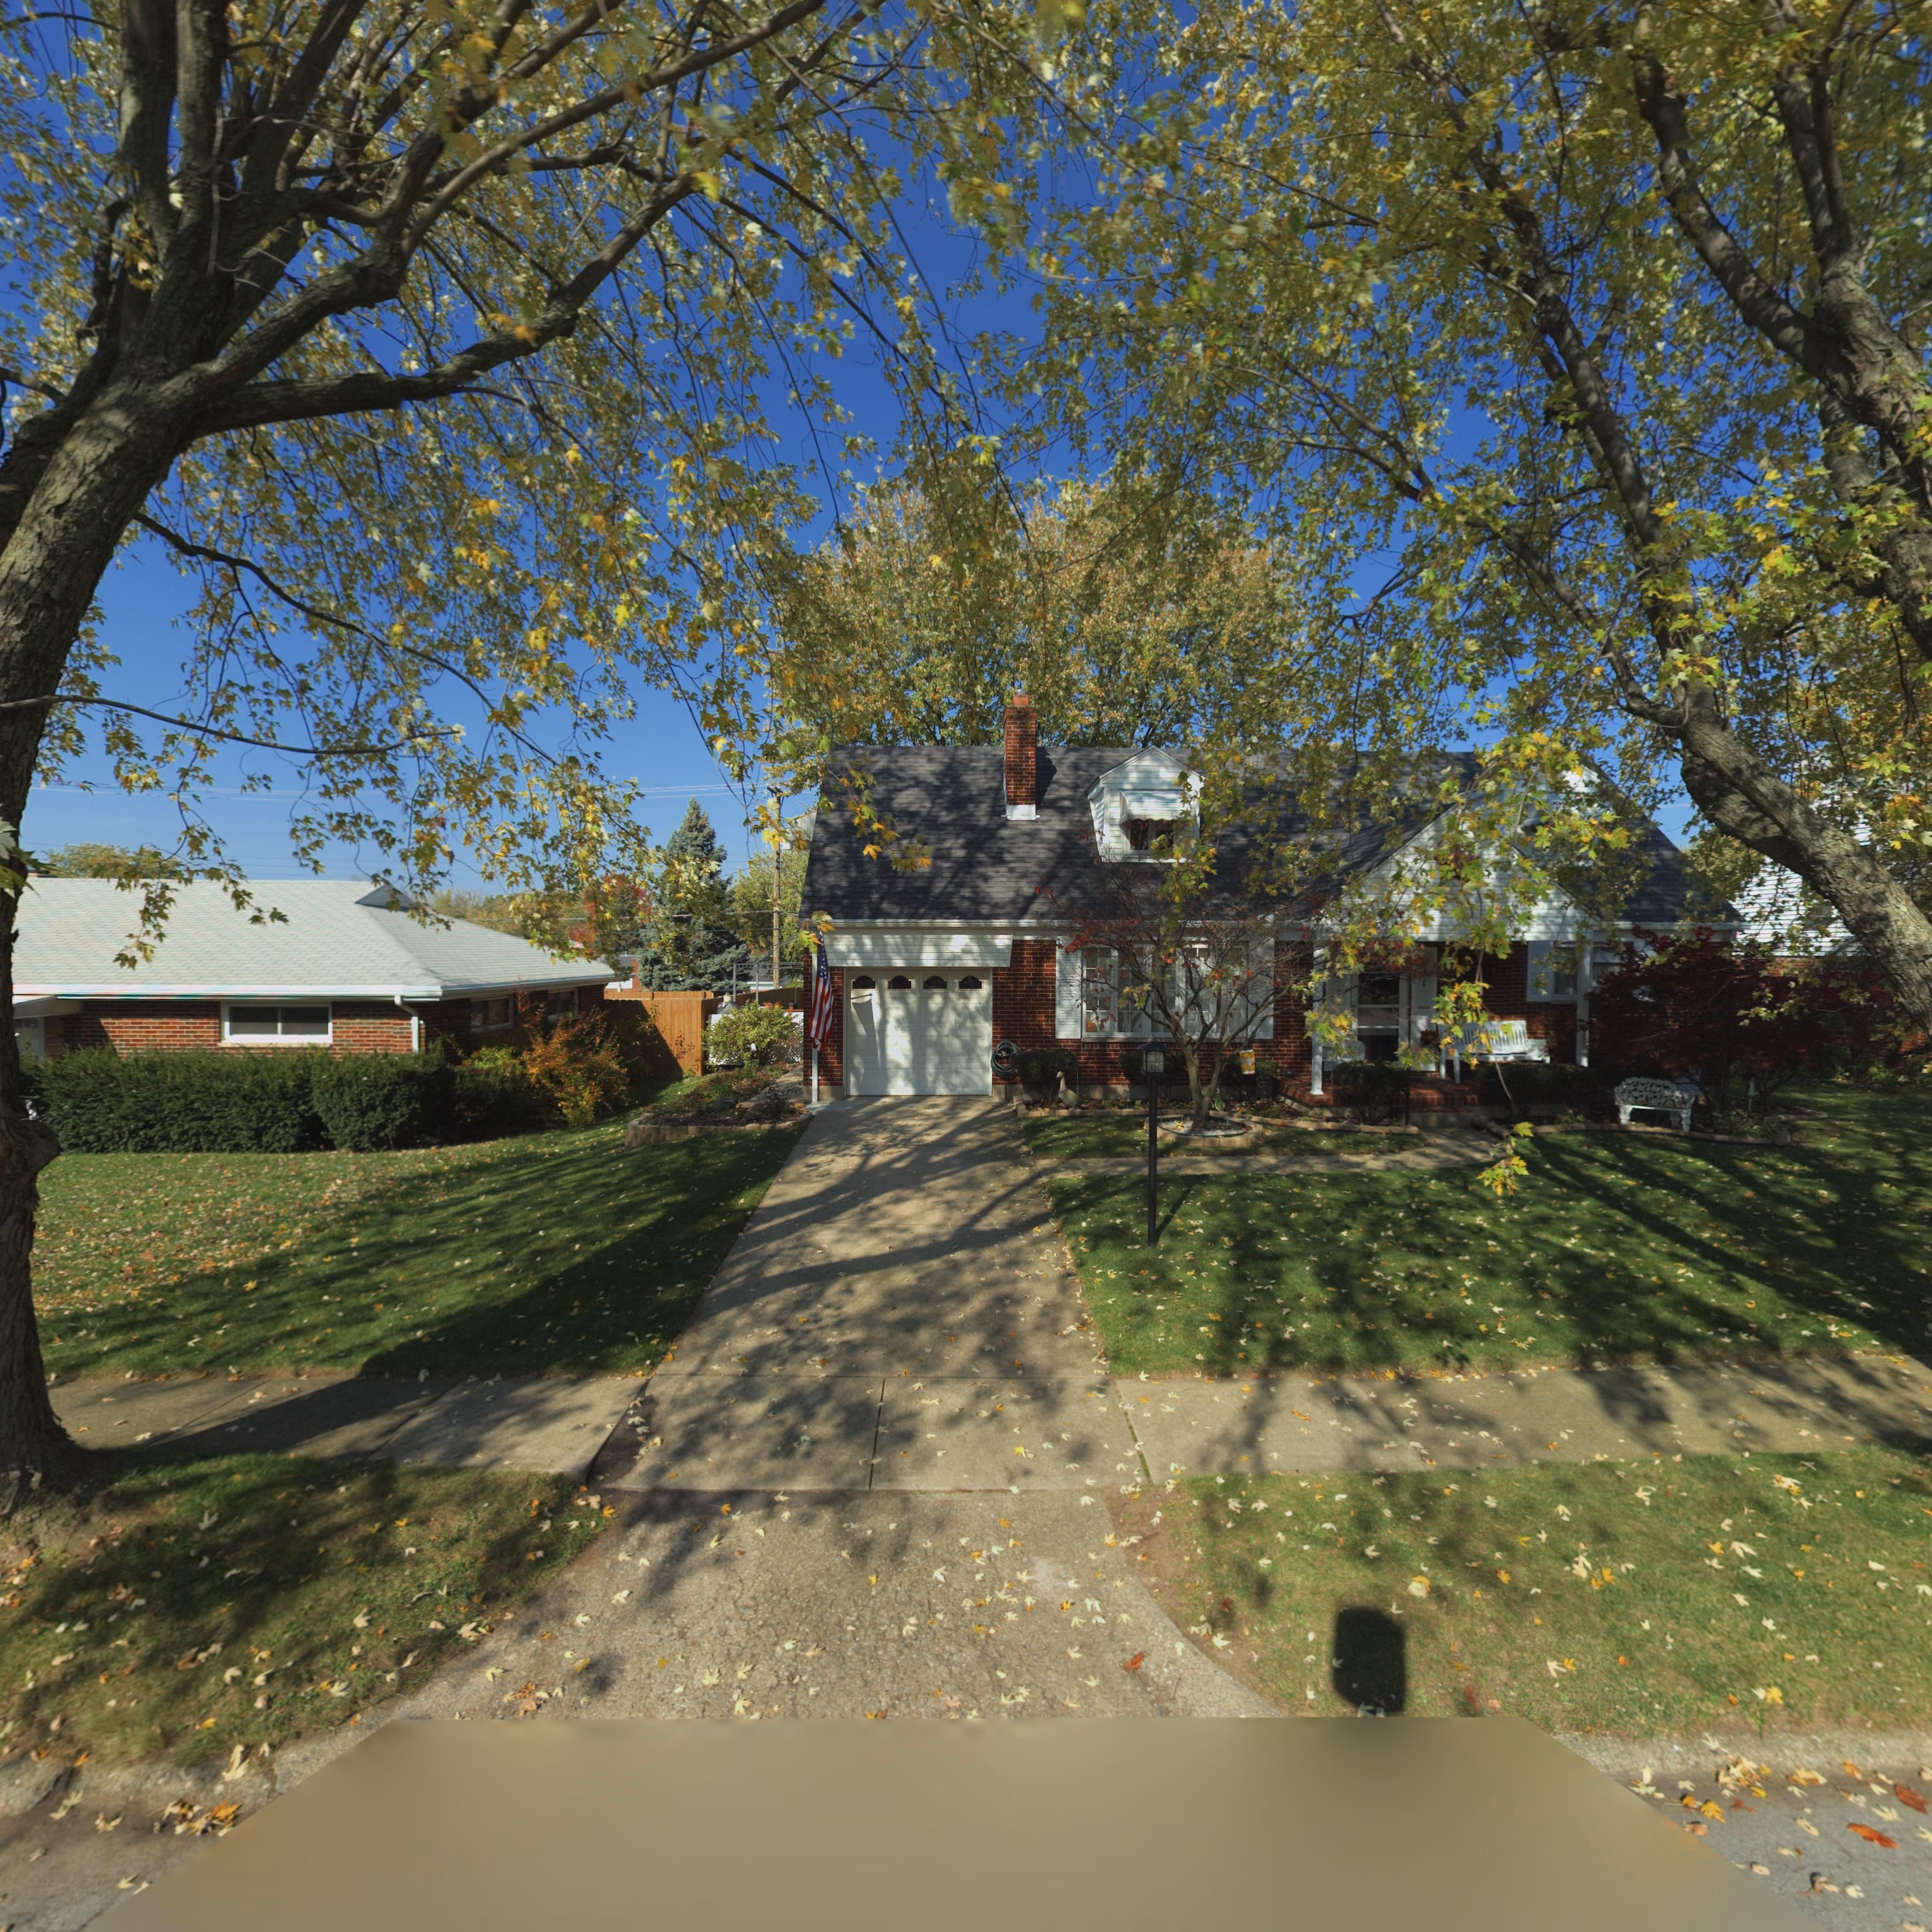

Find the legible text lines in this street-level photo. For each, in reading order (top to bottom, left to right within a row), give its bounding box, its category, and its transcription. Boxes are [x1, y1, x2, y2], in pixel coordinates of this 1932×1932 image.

[1421, 969, 1427, 988] StreetNumber: *1
[1681, 1083, 1693, 1092] None: DO